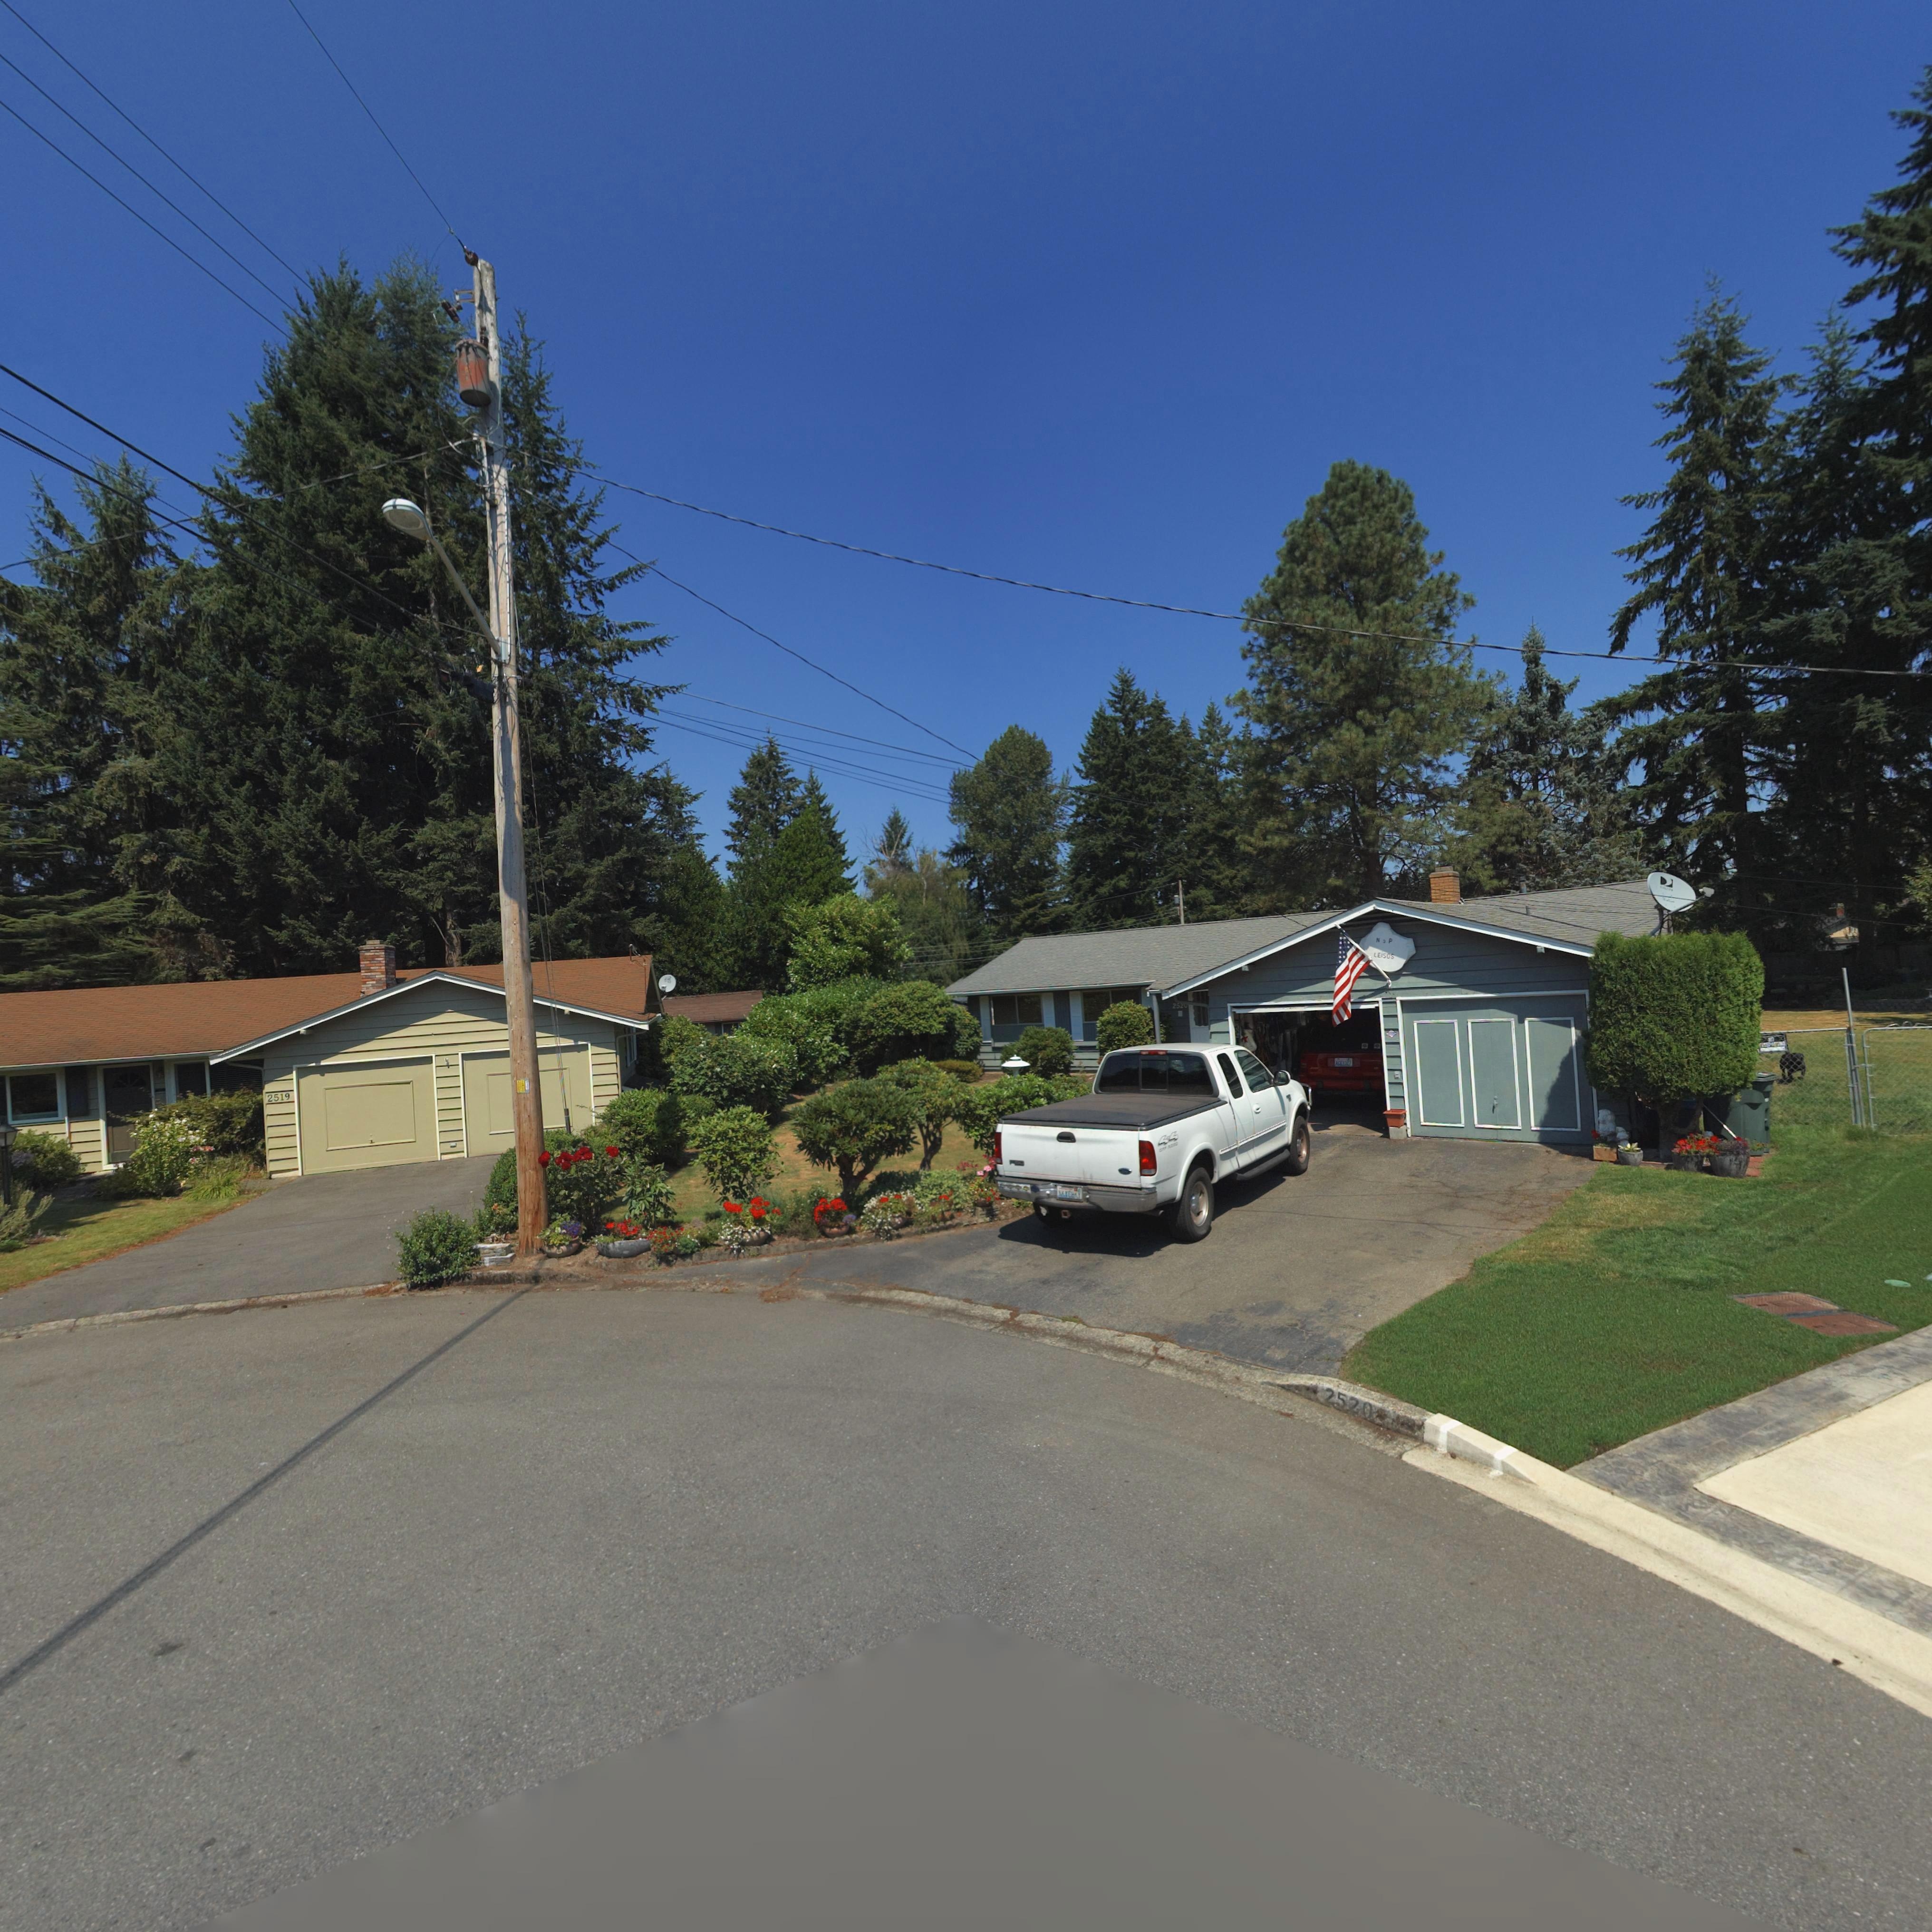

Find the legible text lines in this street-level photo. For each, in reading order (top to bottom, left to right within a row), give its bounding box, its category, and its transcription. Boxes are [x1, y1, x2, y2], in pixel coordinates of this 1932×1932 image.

[1172, 1003, 1183, 1008] StreetNumber: 25*
[267, 1092, 290, 1101] StreetNumber: 2519